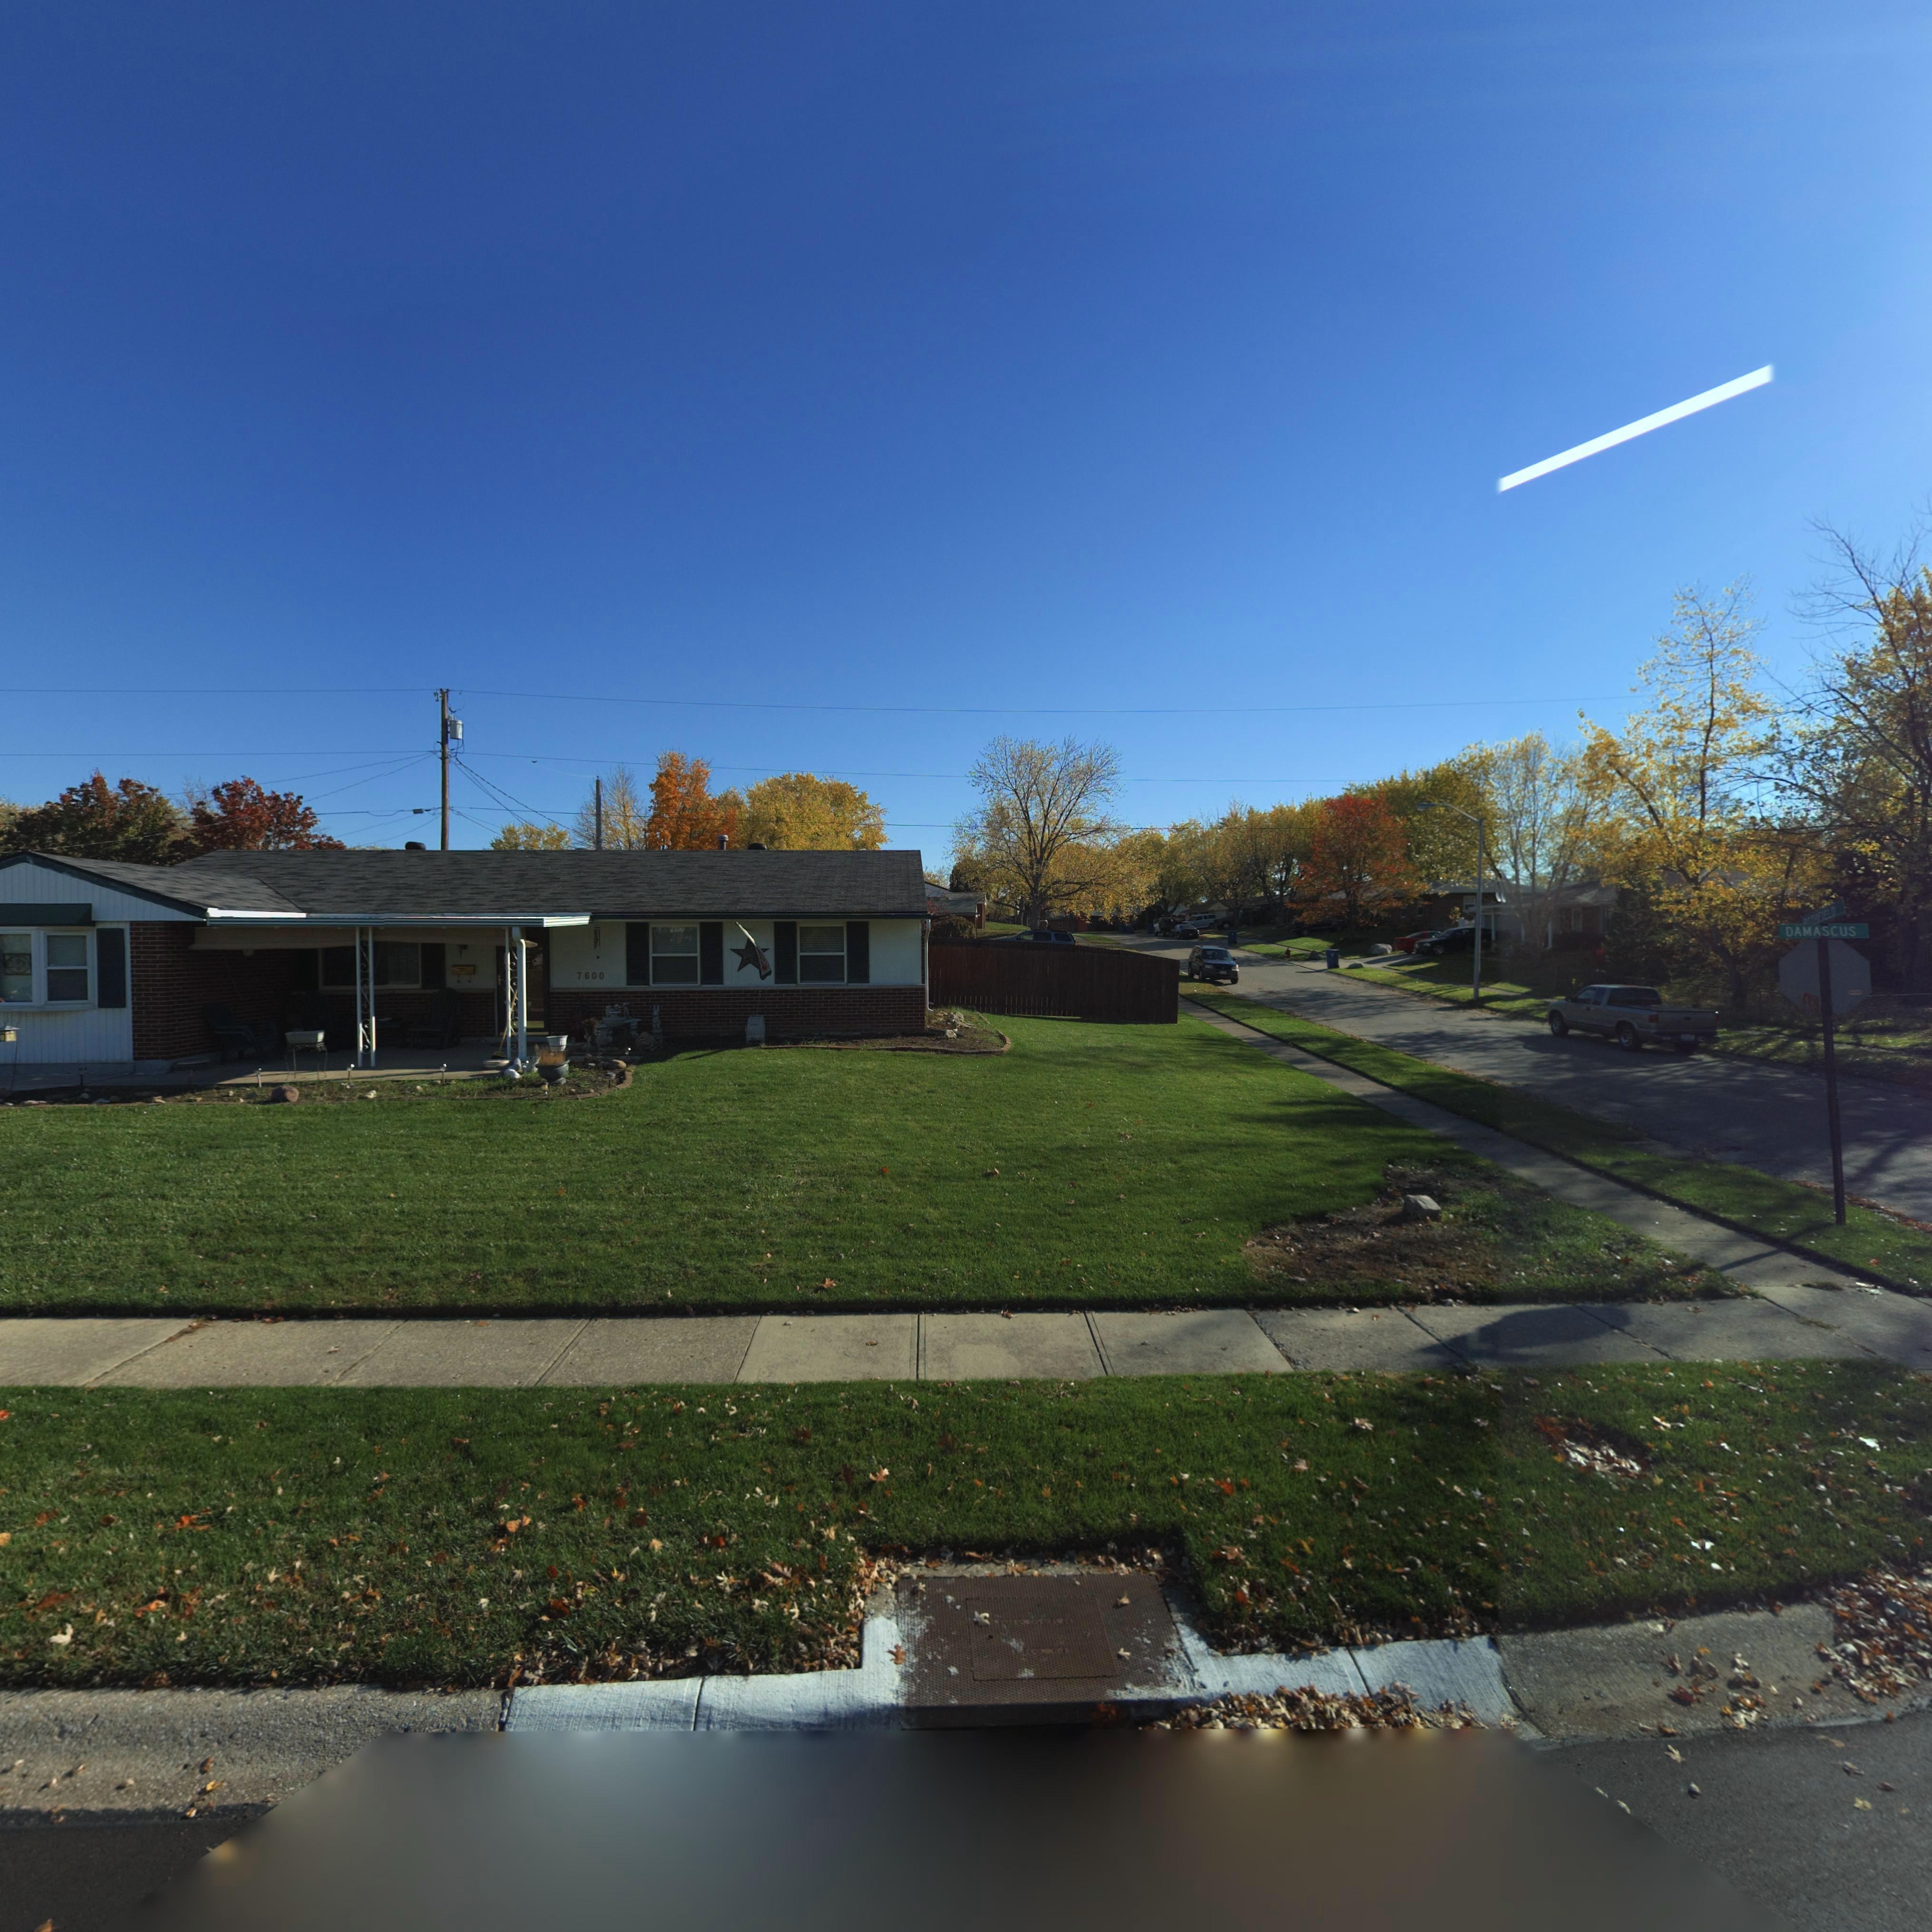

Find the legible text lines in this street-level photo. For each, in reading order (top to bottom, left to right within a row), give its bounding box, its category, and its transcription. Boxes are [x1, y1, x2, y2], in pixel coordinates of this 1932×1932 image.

[1816, 904, 1837, 924] StreetName: FIELD
[1785, 926, 1857, 938] StreetName: DAMASCUS
[577, 971, 605, 980] StreetNumber: 7600